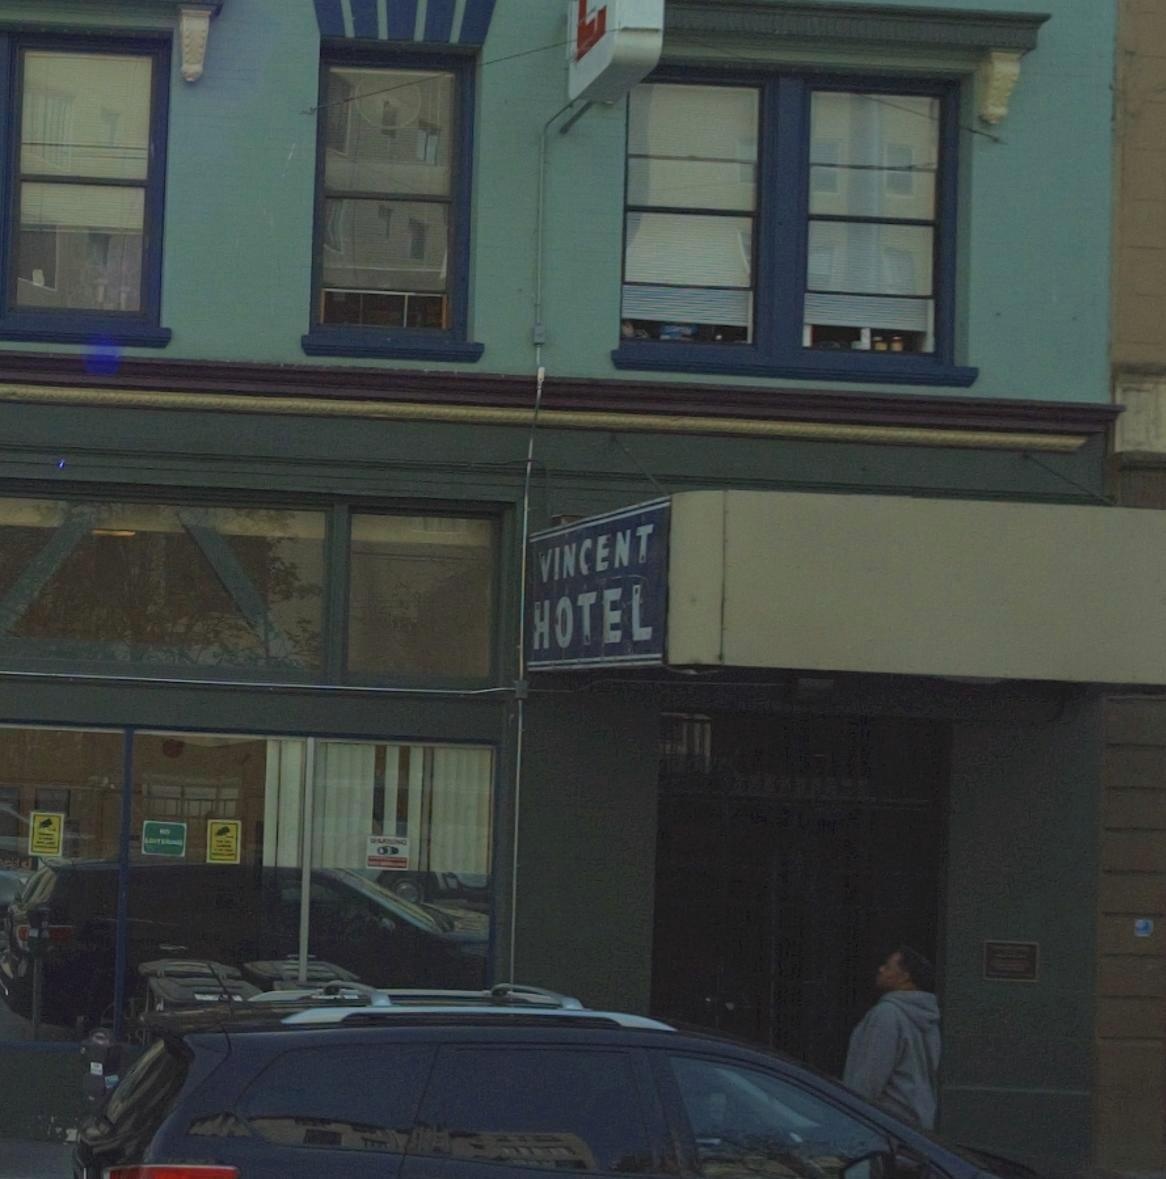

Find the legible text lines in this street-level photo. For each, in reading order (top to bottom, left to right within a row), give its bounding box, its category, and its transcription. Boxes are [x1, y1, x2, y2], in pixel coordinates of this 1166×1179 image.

[535, 521, 655, 585] BusinessName: VINCENT
[531, 582, 654, 653] BusinessName: HOTEL